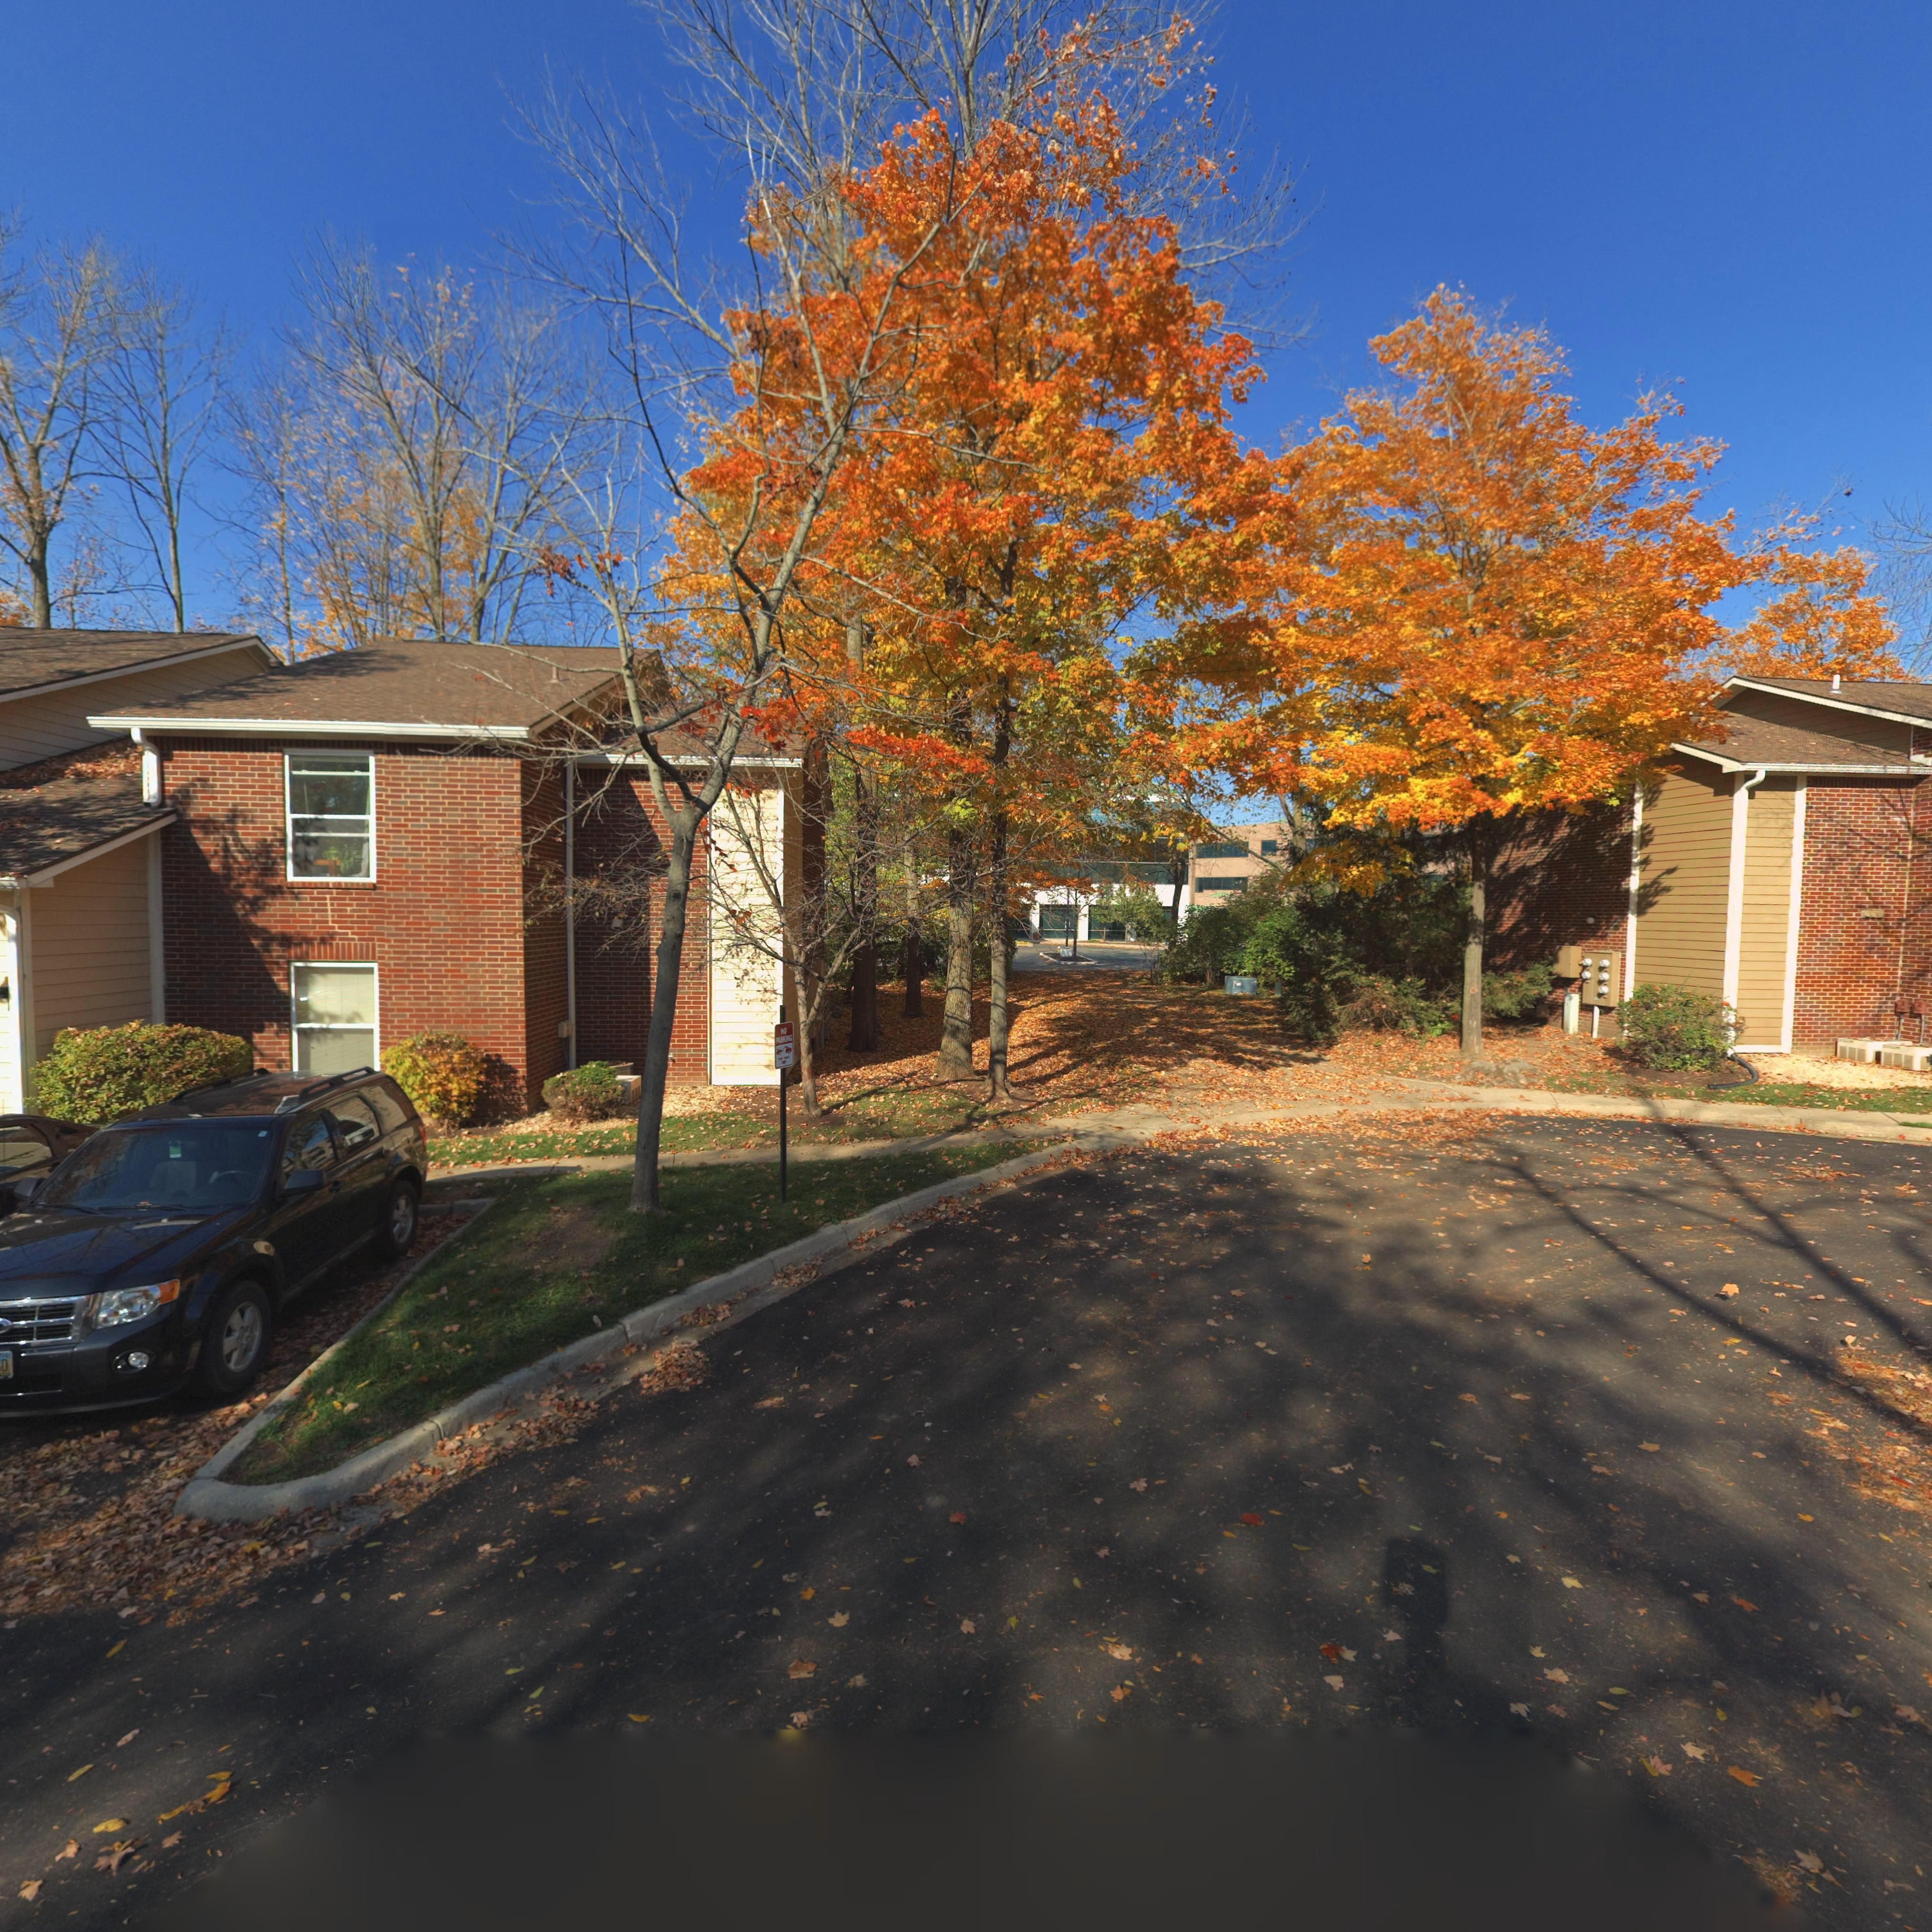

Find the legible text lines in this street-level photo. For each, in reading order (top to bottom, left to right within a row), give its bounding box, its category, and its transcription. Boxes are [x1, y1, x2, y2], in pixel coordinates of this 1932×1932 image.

[780, 1026, 787, 1035] None: NO
[775, 1034, 792, 1045] None: PARKING